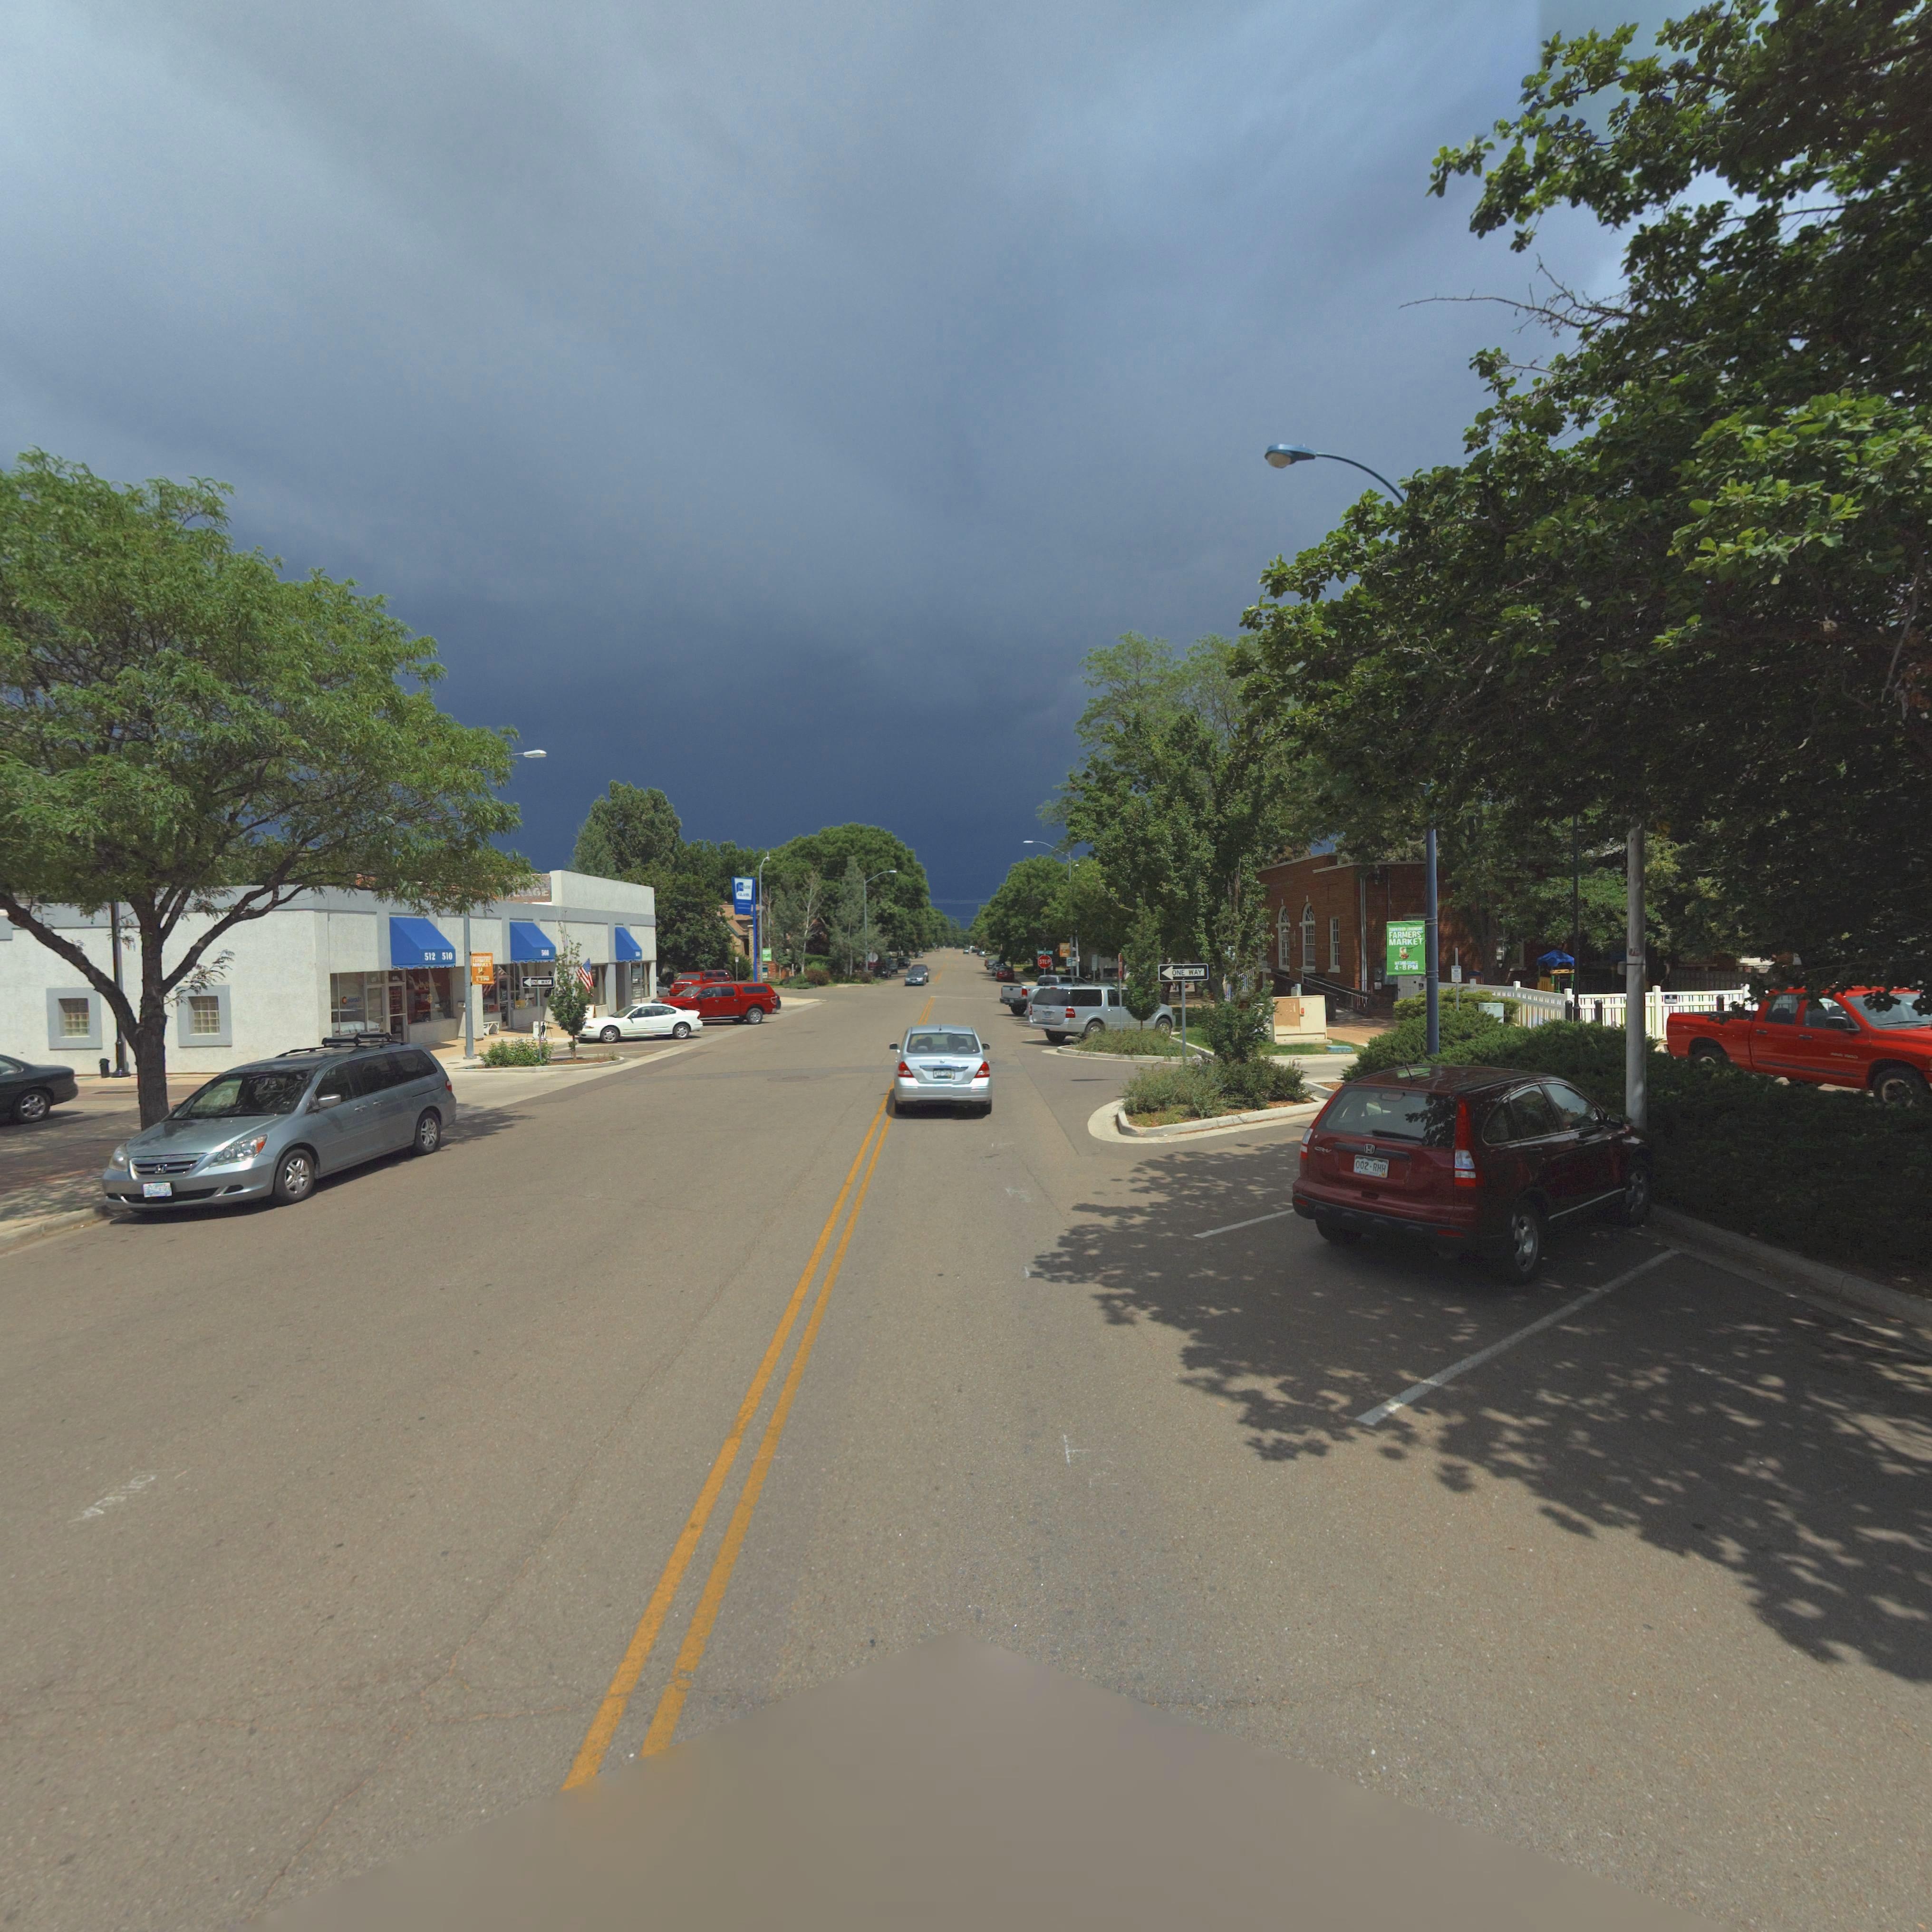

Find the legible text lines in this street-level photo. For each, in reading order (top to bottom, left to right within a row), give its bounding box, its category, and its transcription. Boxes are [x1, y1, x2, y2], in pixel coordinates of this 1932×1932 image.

[739, 885, 751, 889] BusinessName: SL**E
[737, 893, 750, 897] BusinessName: GLASS
[424, 952, 436, 961] StreetNumber: 512
[441, 952, 453, 960] StreetNumber: 510
[541, 949, 549, 956] StreetNumber: 508
[635, 951, 640, 956] StreetNumber: 506